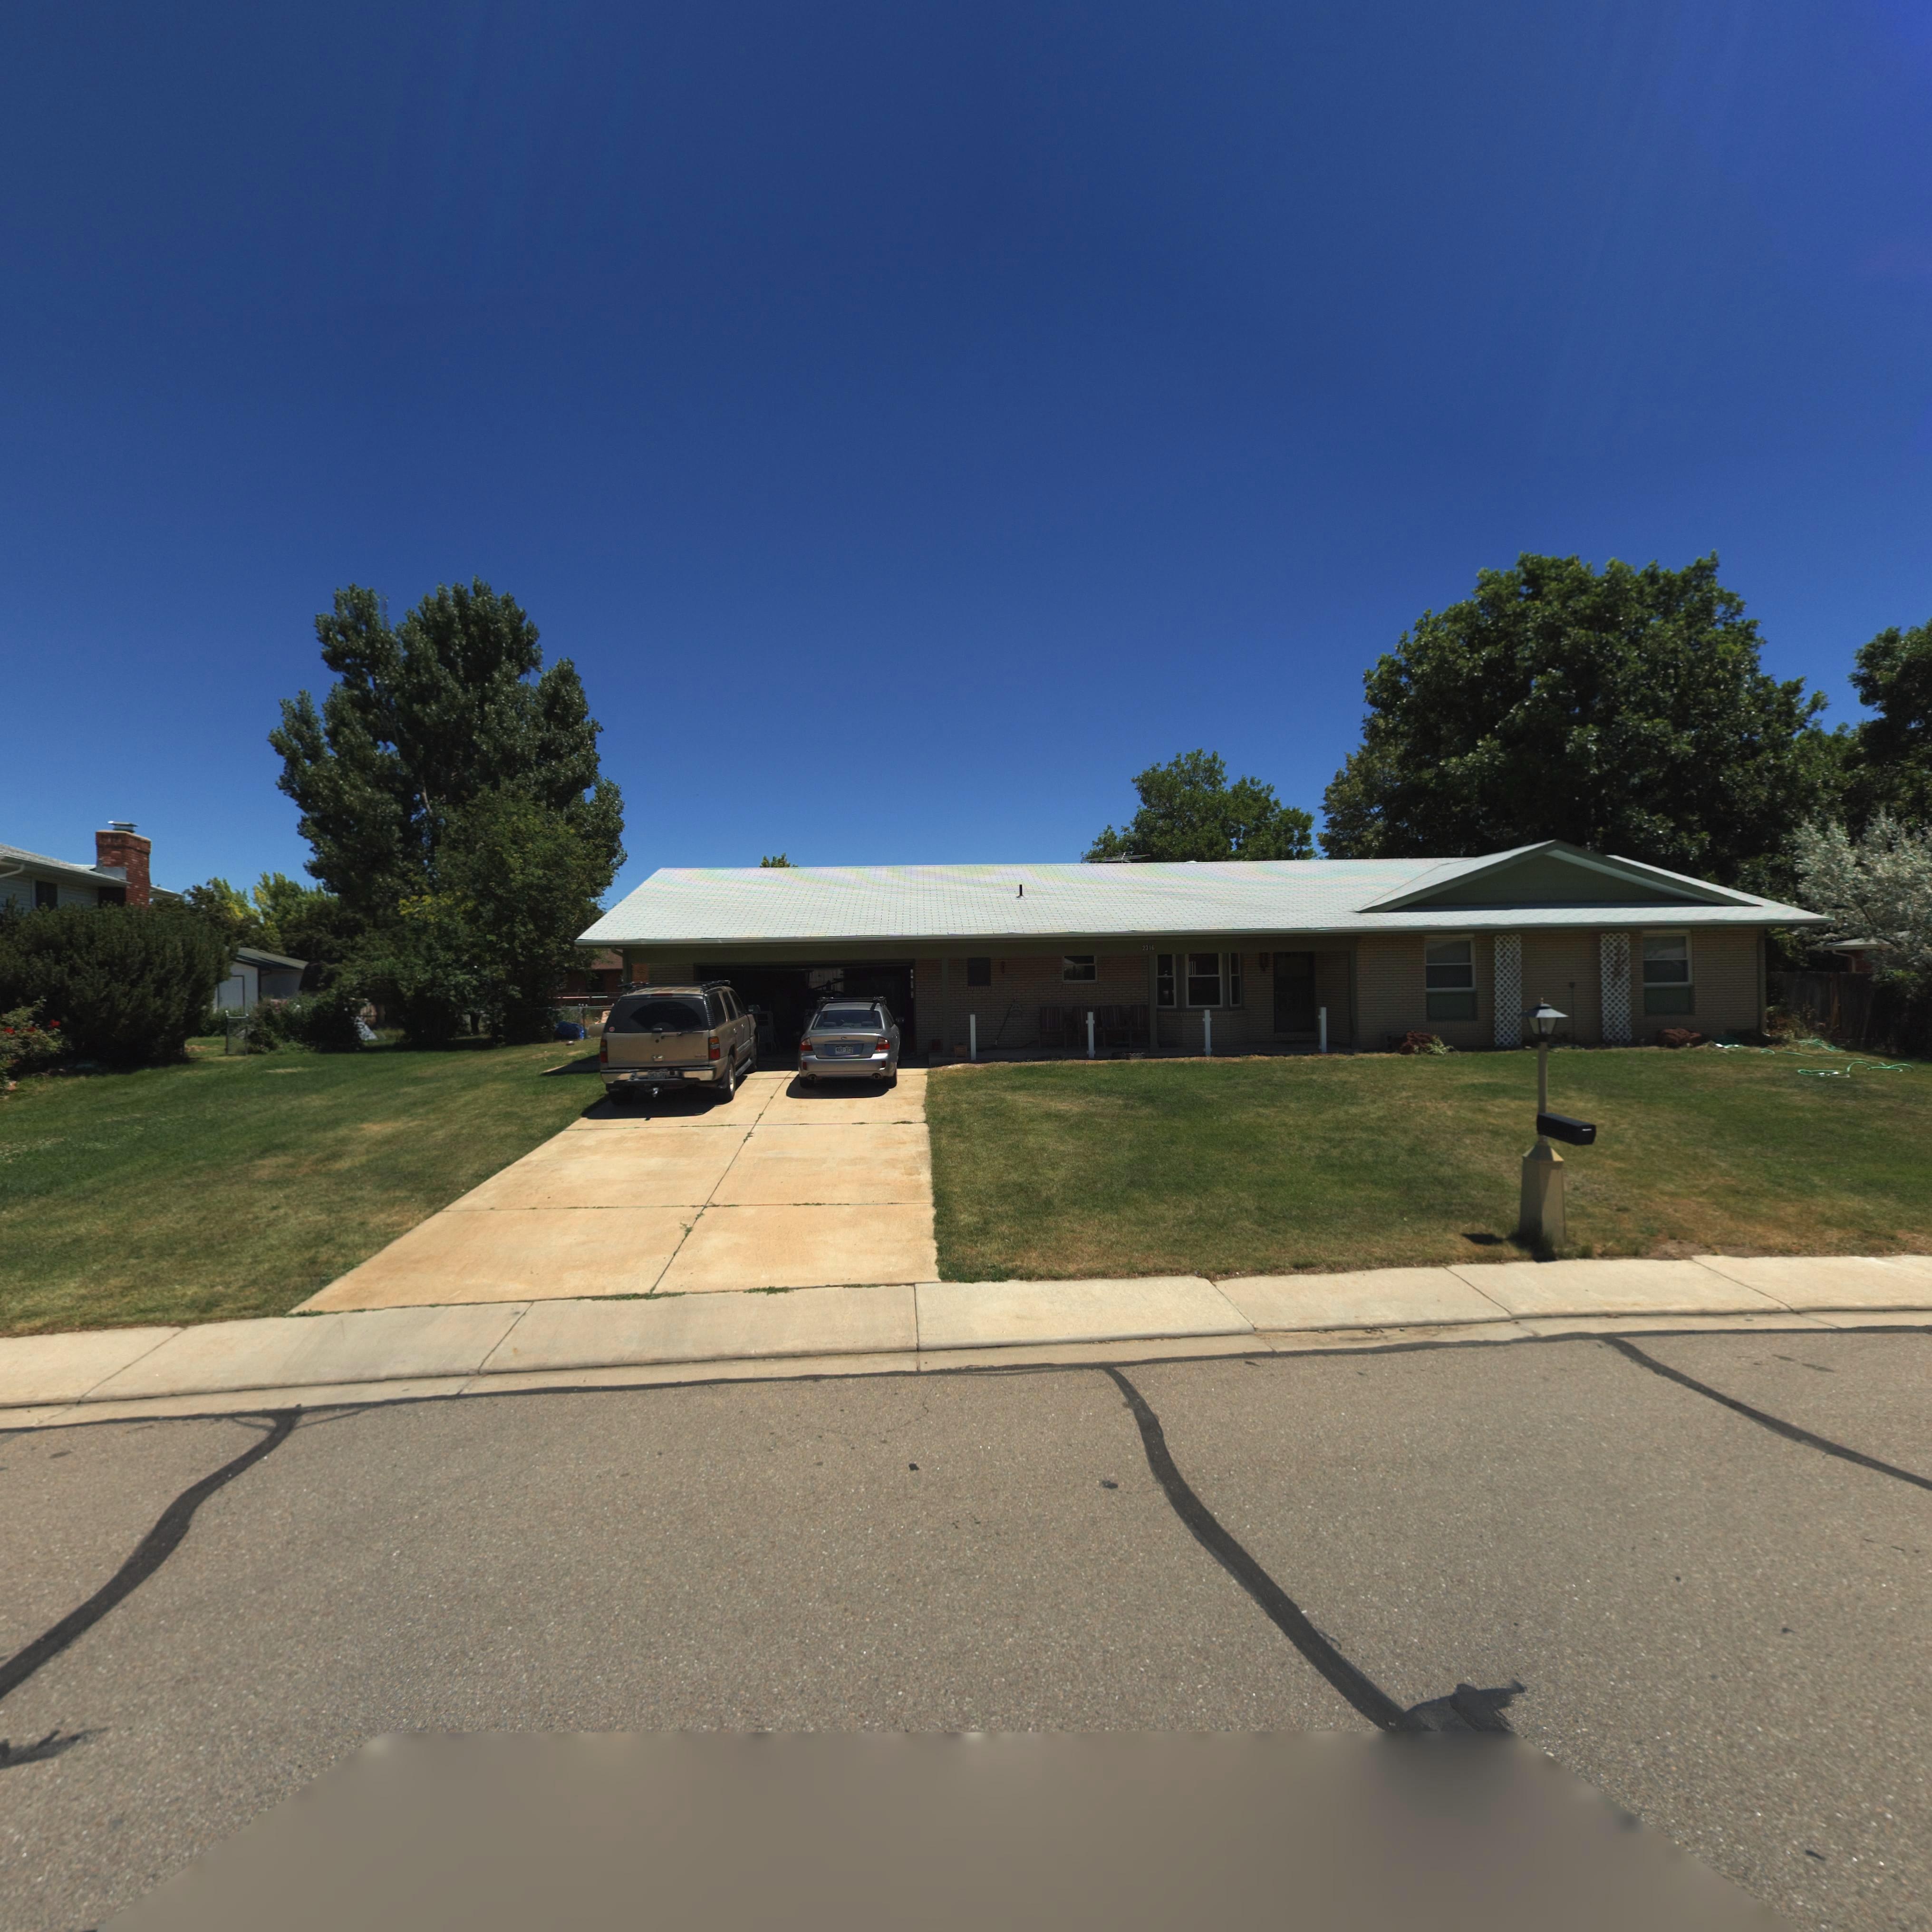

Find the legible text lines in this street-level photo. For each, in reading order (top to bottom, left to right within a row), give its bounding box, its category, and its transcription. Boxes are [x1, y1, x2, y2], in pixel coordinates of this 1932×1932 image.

[1142, 944, 1155, 951] StreetNumber: 2316